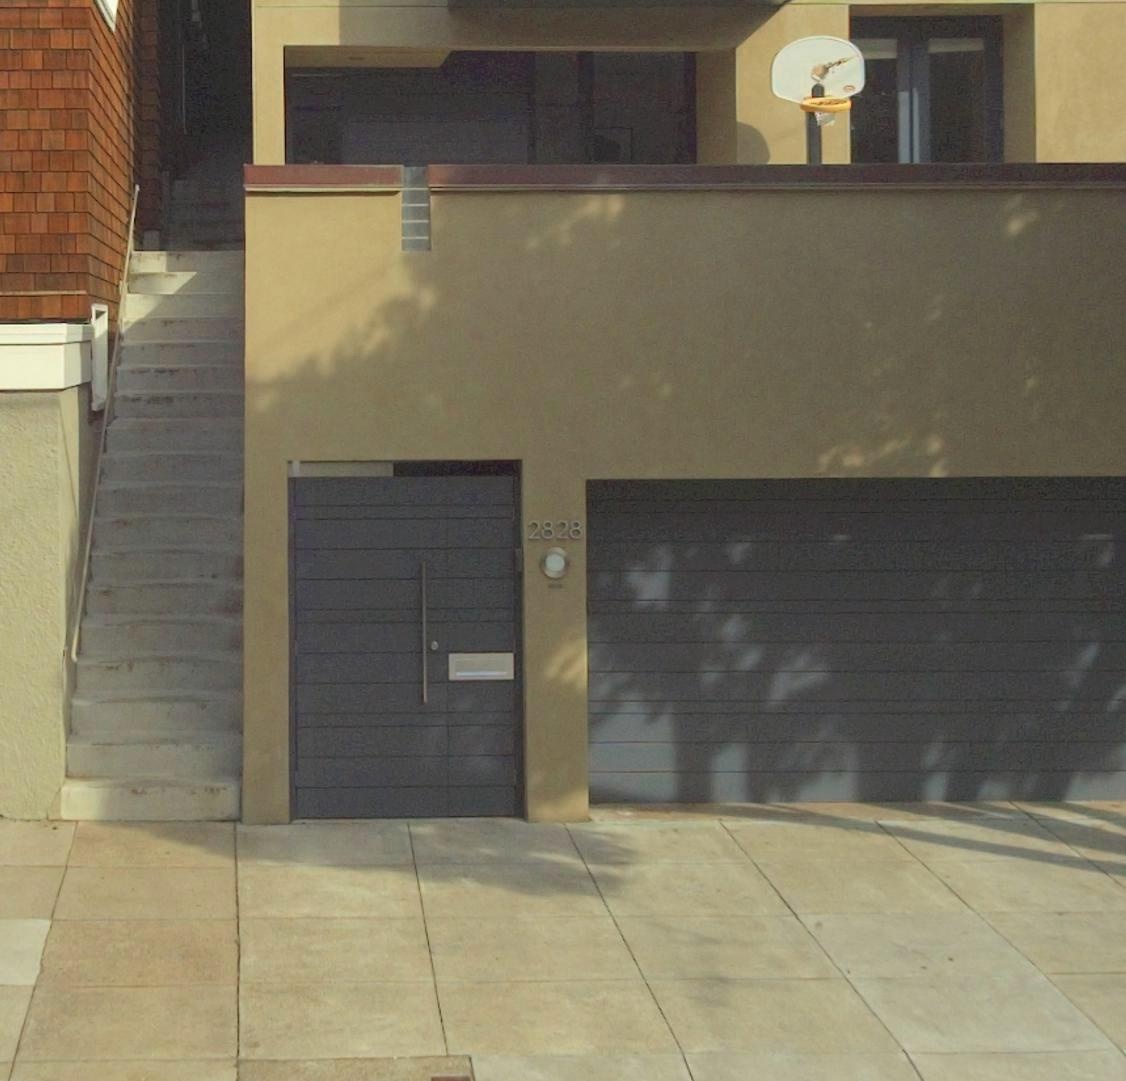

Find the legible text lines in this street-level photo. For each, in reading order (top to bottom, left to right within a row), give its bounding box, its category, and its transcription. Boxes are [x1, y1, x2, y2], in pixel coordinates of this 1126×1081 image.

[526, 519, 584, 542] StreetNumber: 2828